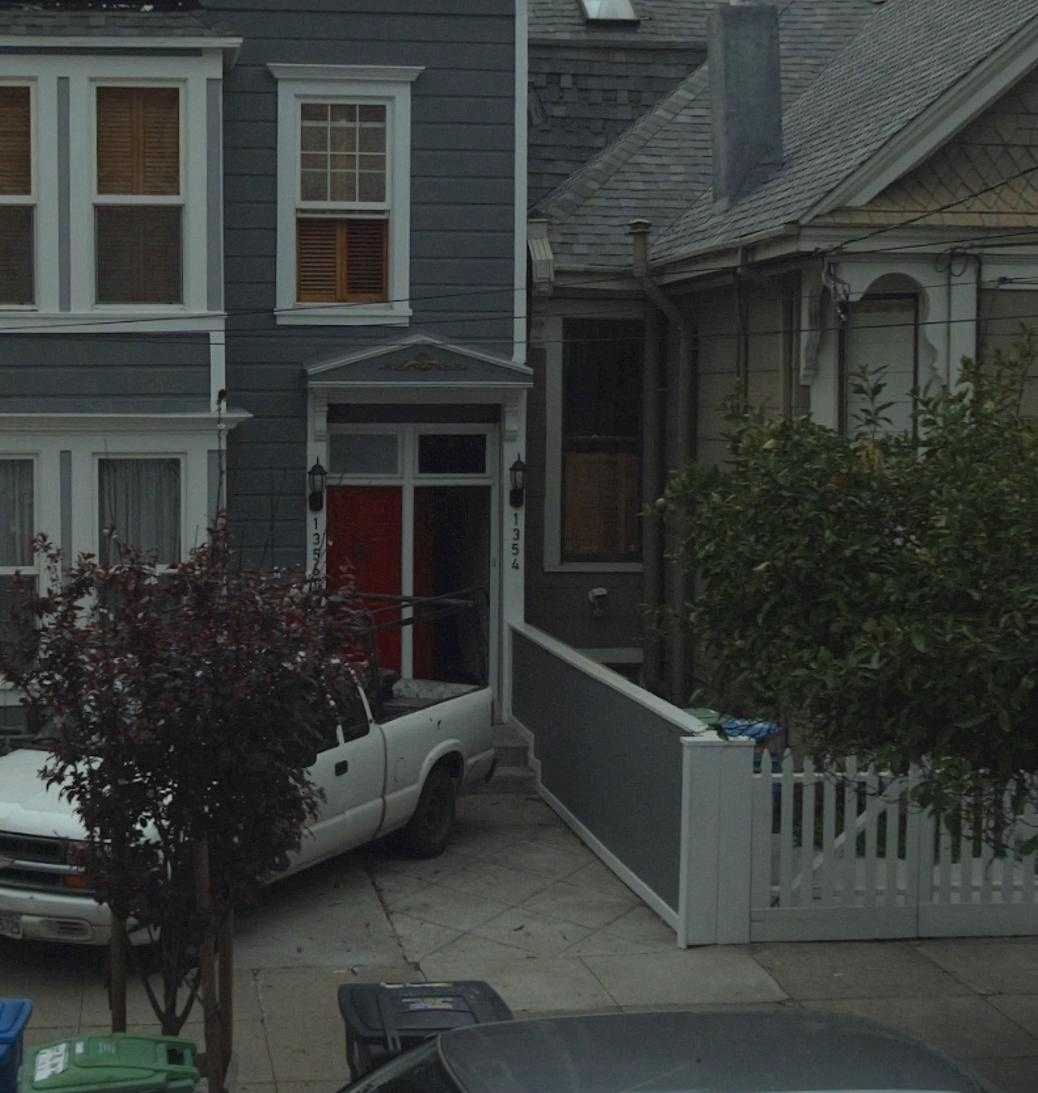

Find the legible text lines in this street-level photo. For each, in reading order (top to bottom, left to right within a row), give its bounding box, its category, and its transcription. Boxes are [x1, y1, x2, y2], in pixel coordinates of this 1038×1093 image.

[311, 515, 320, 575] StreetNumber: 1356
[509, 512, 521, 572] StreetNumber: 1354